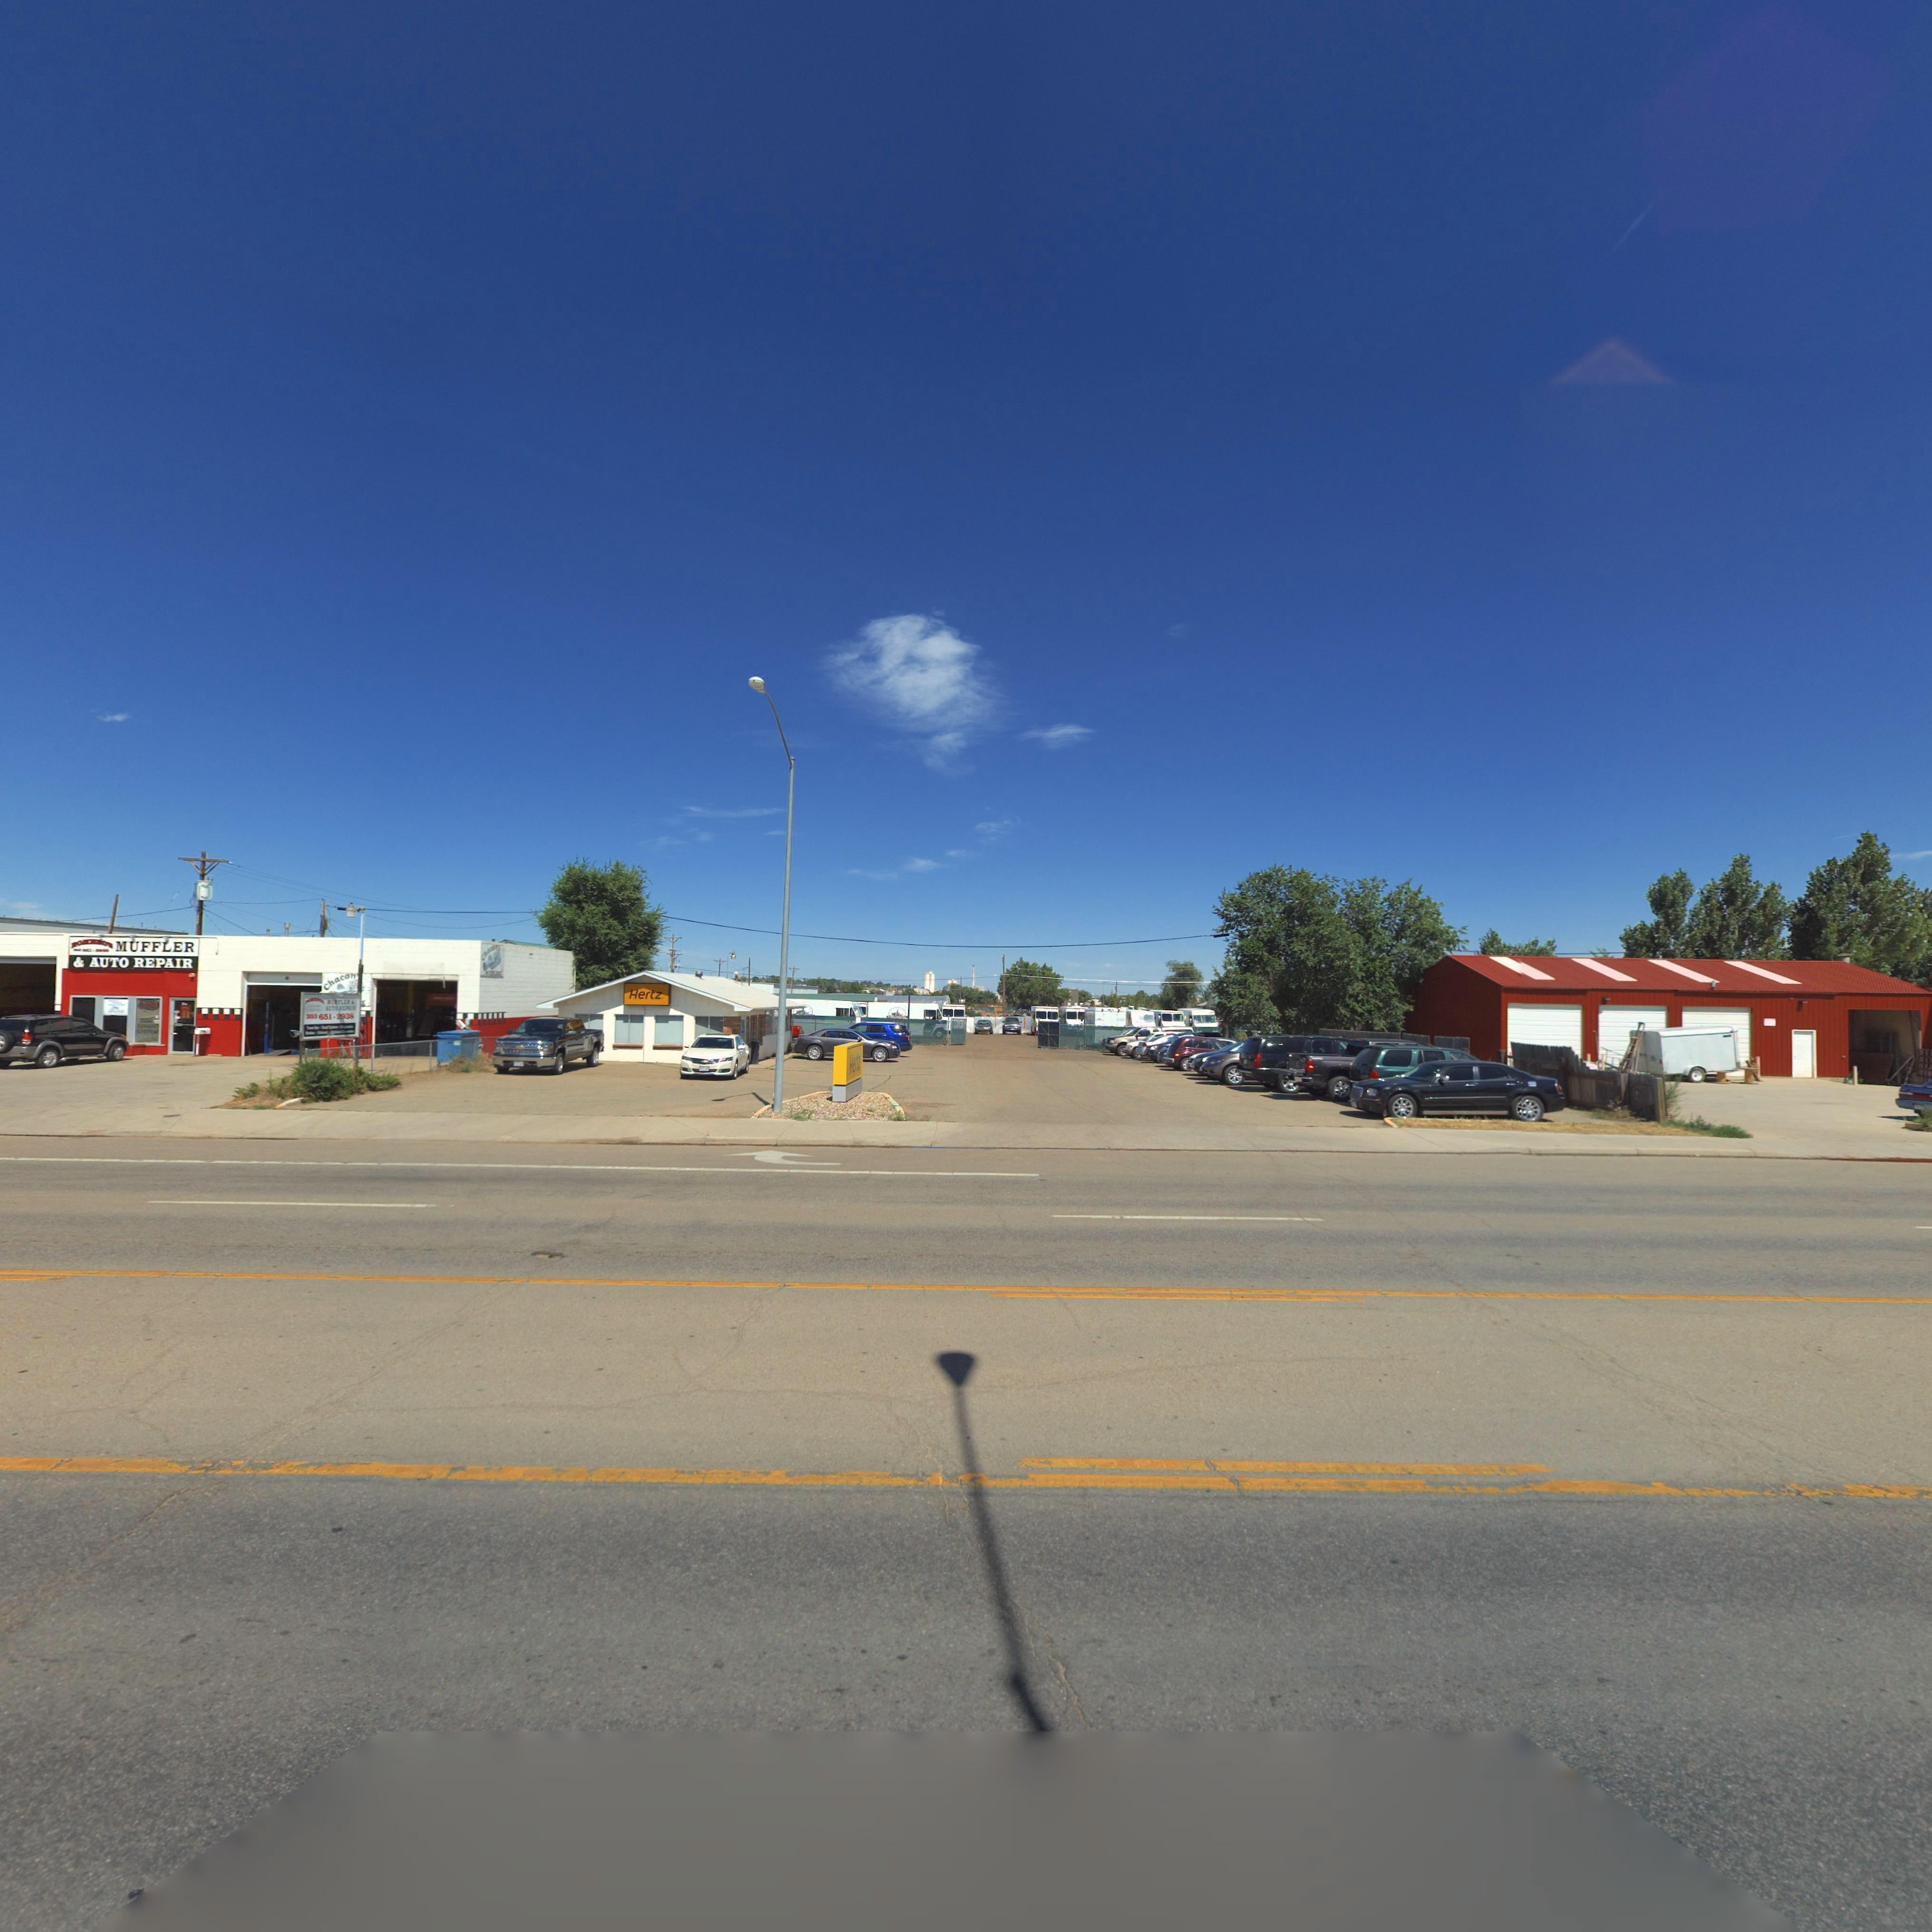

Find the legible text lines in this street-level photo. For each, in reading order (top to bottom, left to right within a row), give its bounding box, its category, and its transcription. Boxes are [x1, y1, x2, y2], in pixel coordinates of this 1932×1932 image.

[71, 939, 113, 949] BusinessName: RO***O'S
[115, 940, 194, 953] BusinessName: MUFFLER
[481, 944, 501, 961] BusinessName: Chaco*s
[72, 956, 193, 969] BusinessName: & AUTO REPAIR
[484, 970, 502, 976] BusinessName: MU*FLERS
[322, 973, 356, 991] BusinessName: Chacon
[628, 989, 663, 1000] BusinessName: Hertz
[327, 999, 350, 1005] BusinessName: MUFFLER
[325, 1005, 356, 1011] BusinessName: AUTO REPAIR
[849, 1052, 860, 1074] BusinessName: Hertz